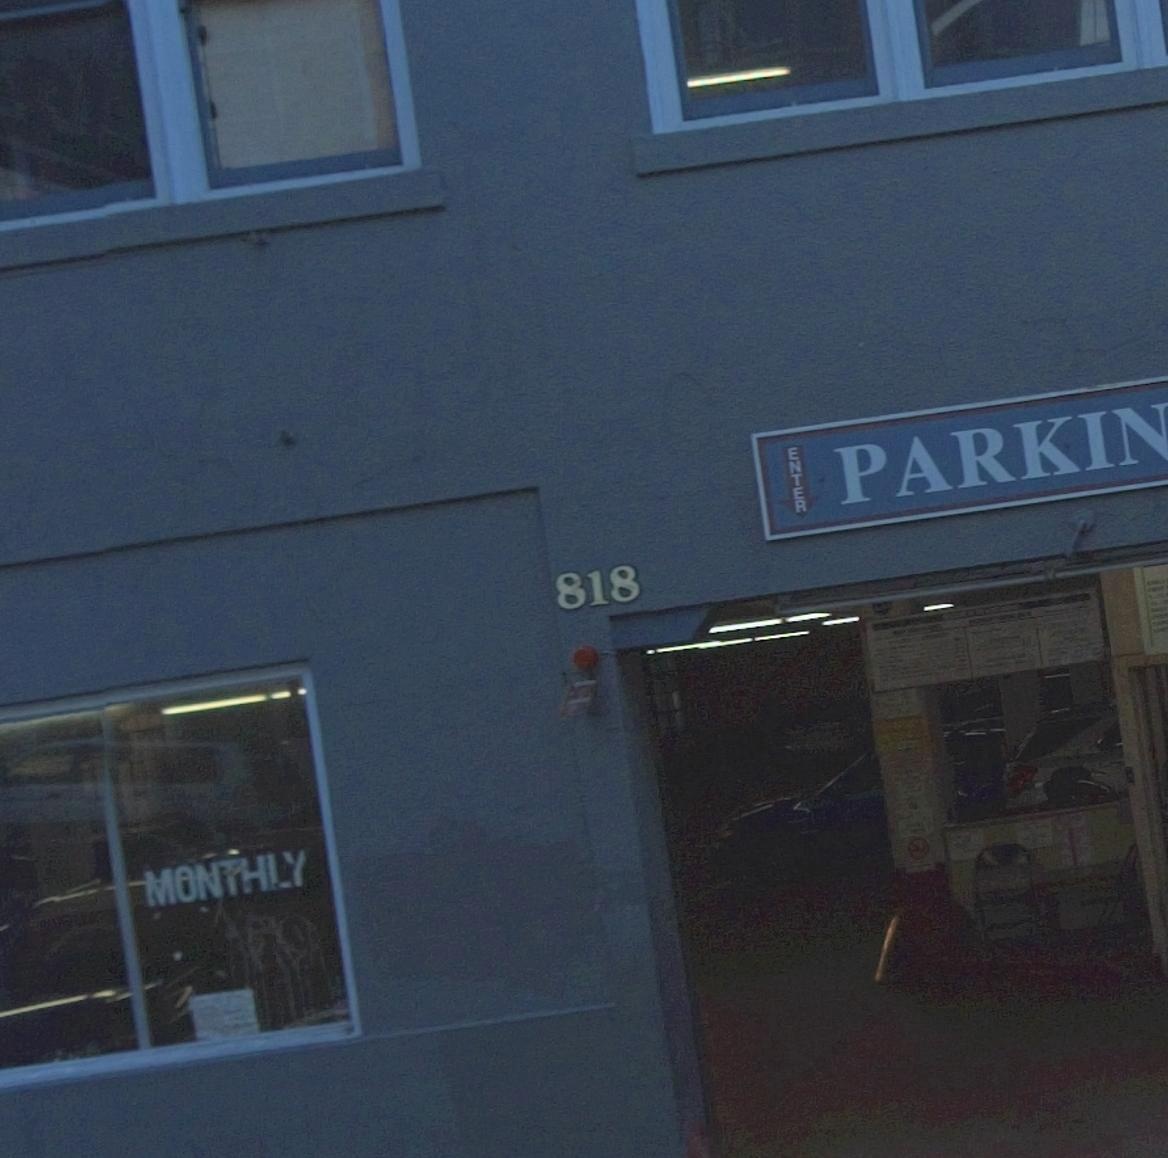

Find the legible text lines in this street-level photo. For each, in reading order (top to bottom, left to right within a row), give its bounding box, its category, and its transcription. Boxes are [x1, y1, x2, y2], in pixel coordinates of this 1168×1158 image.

[786, 446, 809, 515] None: ENTER
[829, 401, 1168, 508] None: PARKIN
[551, 560, 644, 614] StreetNumber: 818
[143, 846, 311, 910] None: MONTHLY